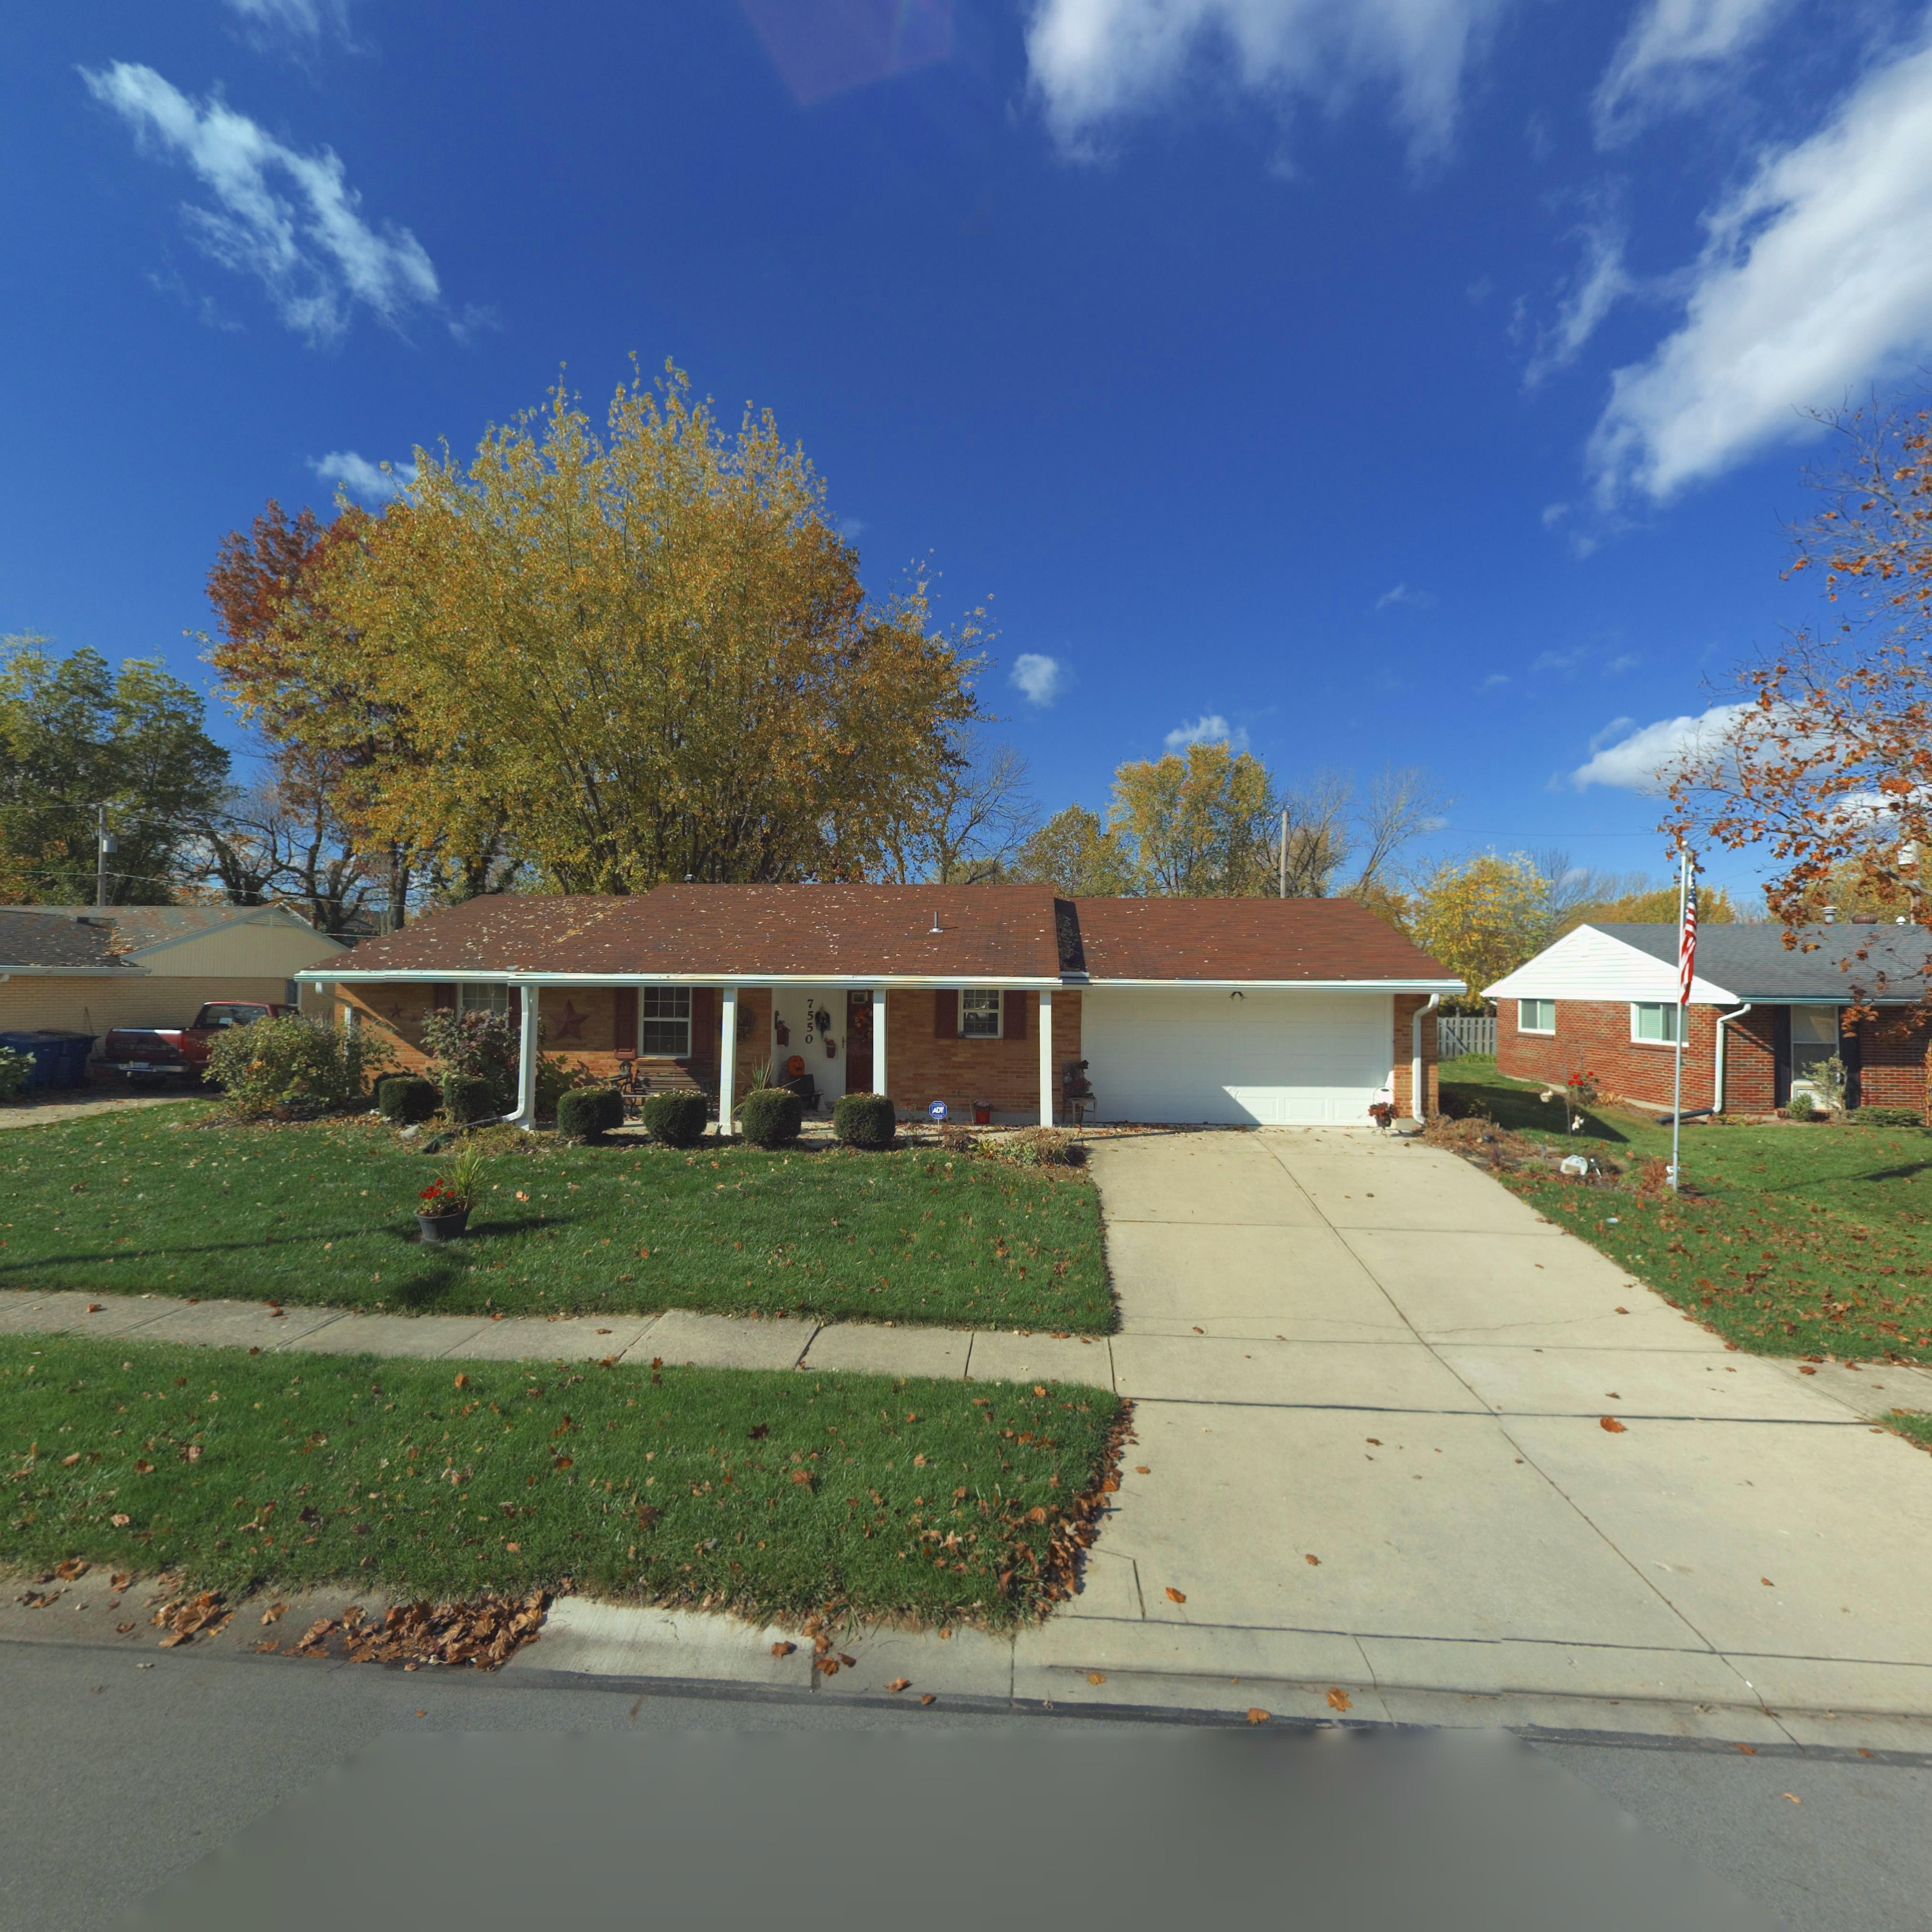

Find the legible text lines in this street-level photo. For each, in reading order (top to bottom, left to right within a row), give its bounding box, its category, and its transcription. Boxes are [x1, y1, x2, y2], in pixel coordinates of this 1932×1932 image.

[804, 998, 815, 1045] StreetNumber: 7550